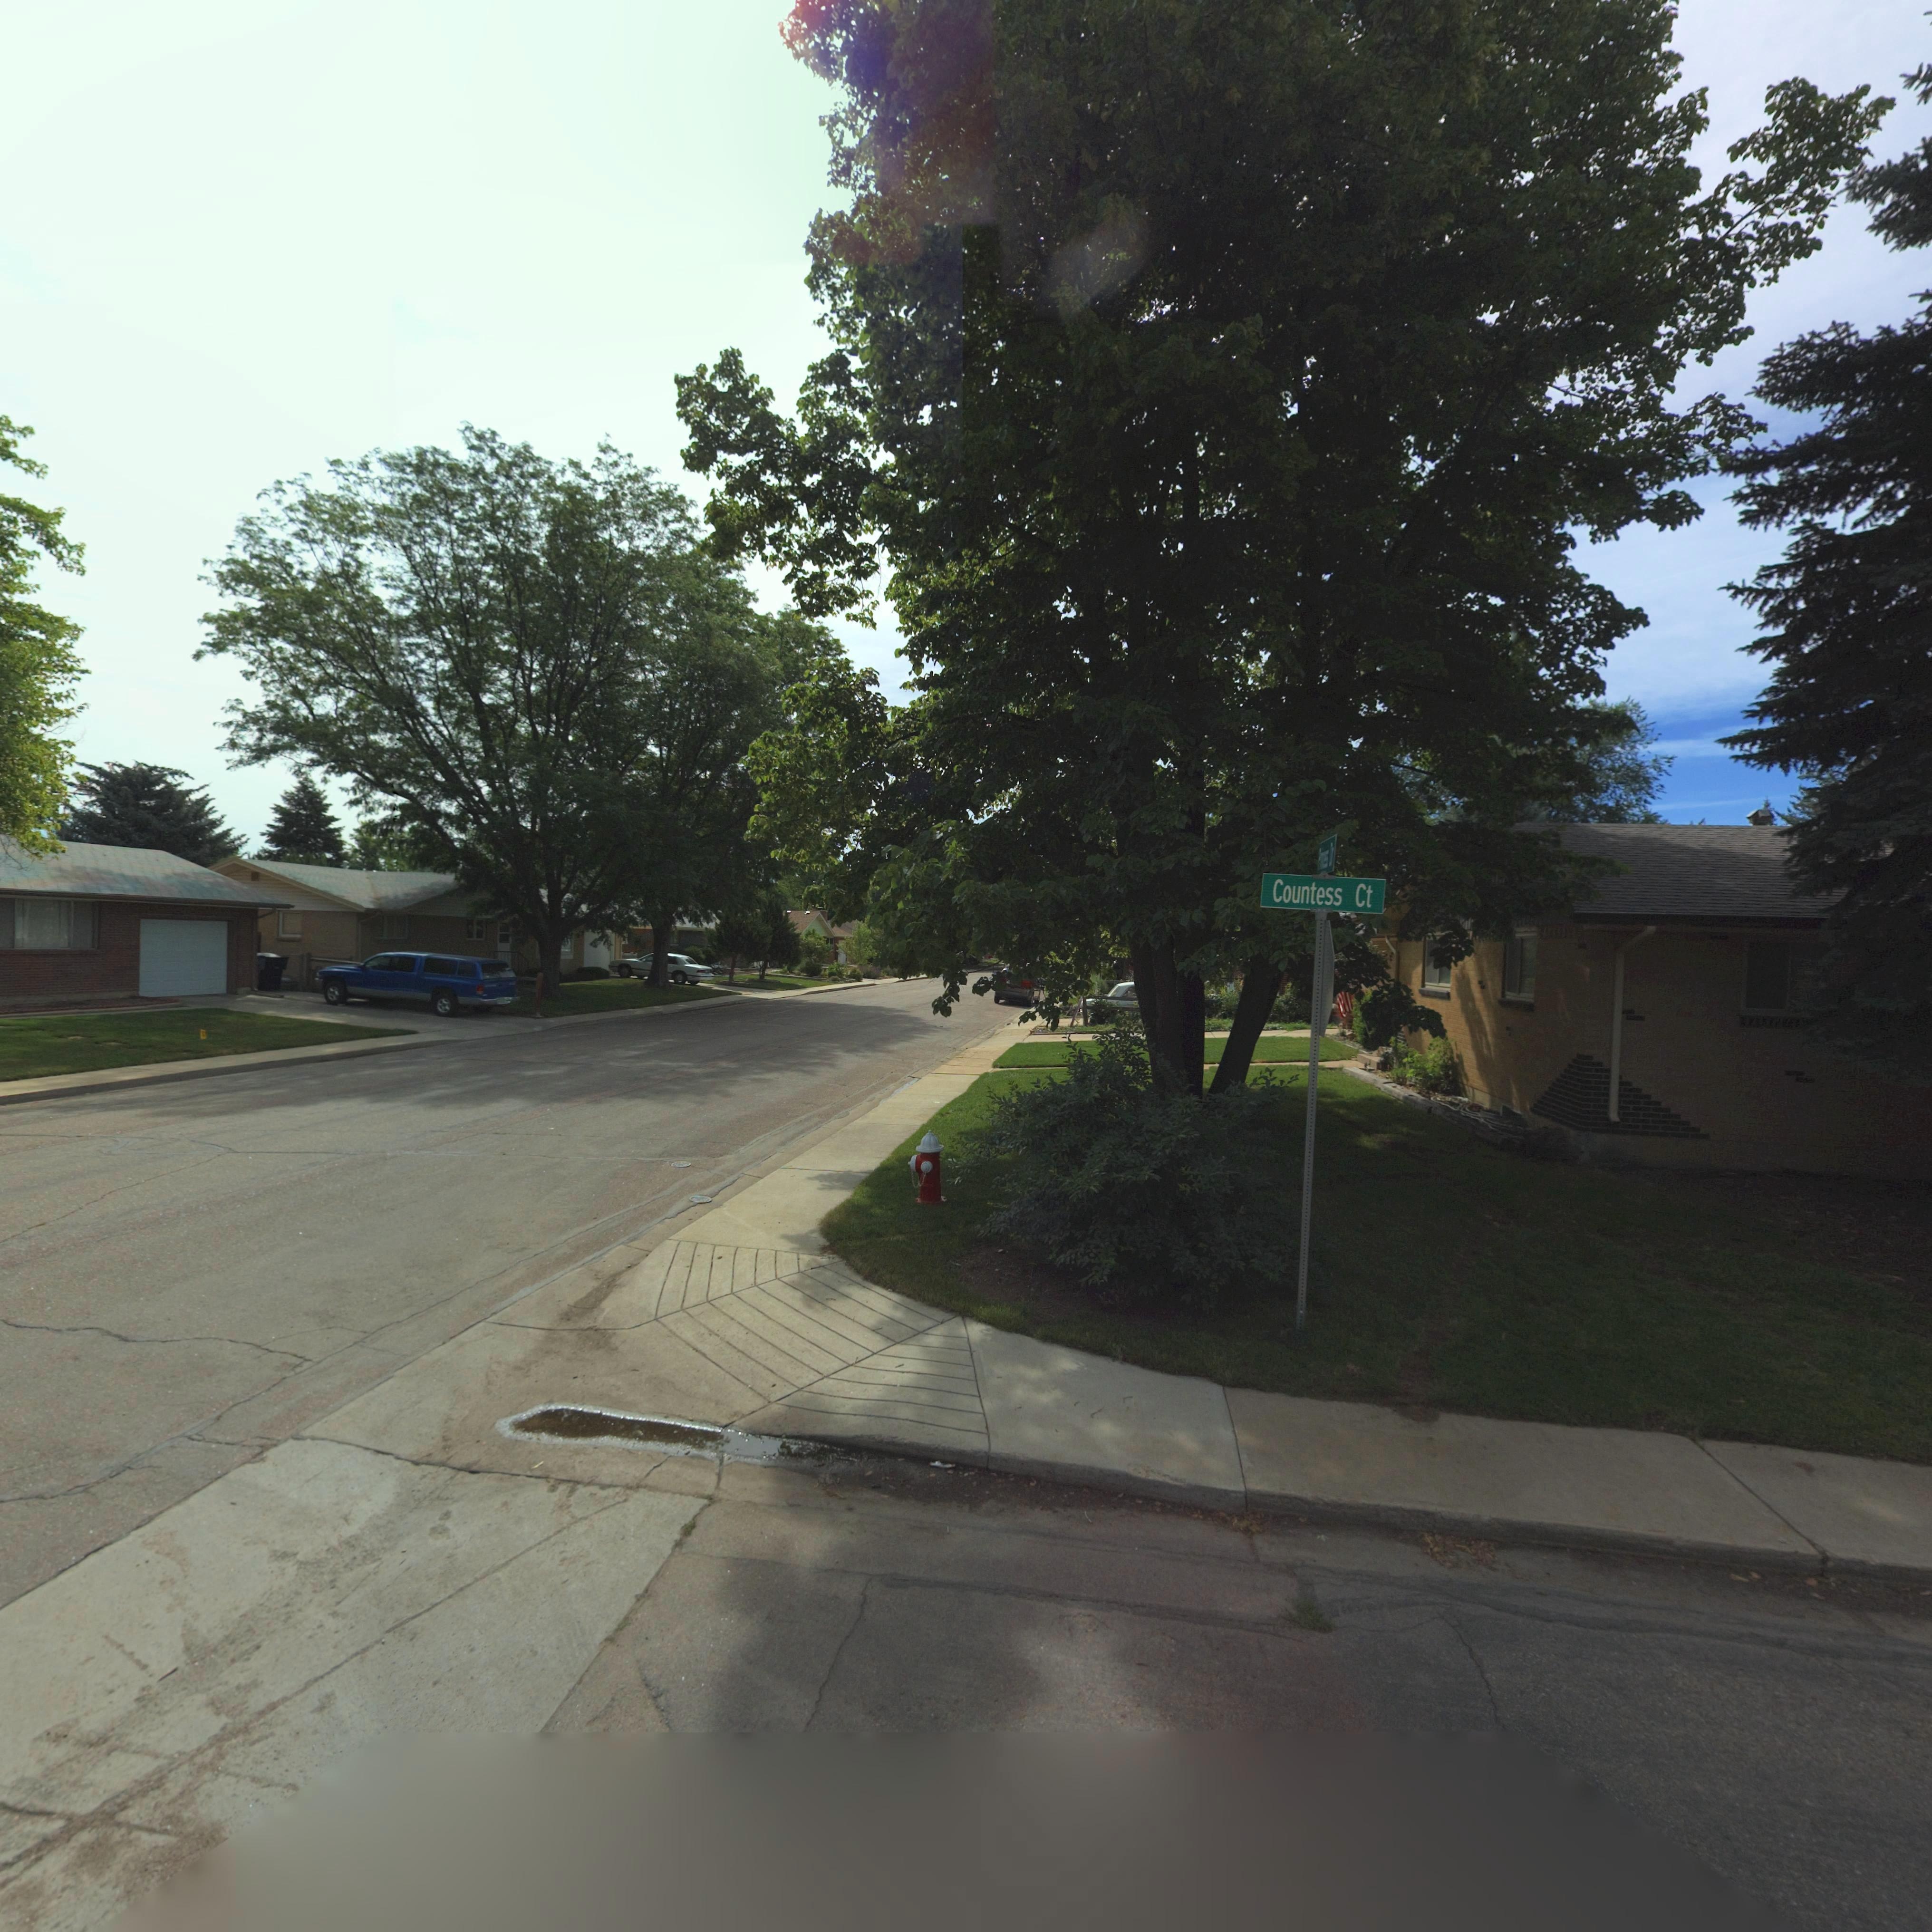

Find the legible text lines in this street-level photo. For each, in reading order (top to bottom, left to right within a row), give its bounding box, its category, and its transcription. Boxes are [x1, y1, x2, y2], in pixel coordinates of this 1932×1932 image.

[1317, 841, 1334, 871] StreetName: P******* Dr
[1272, 878, 1373, 908] StreetName: Countess Ct